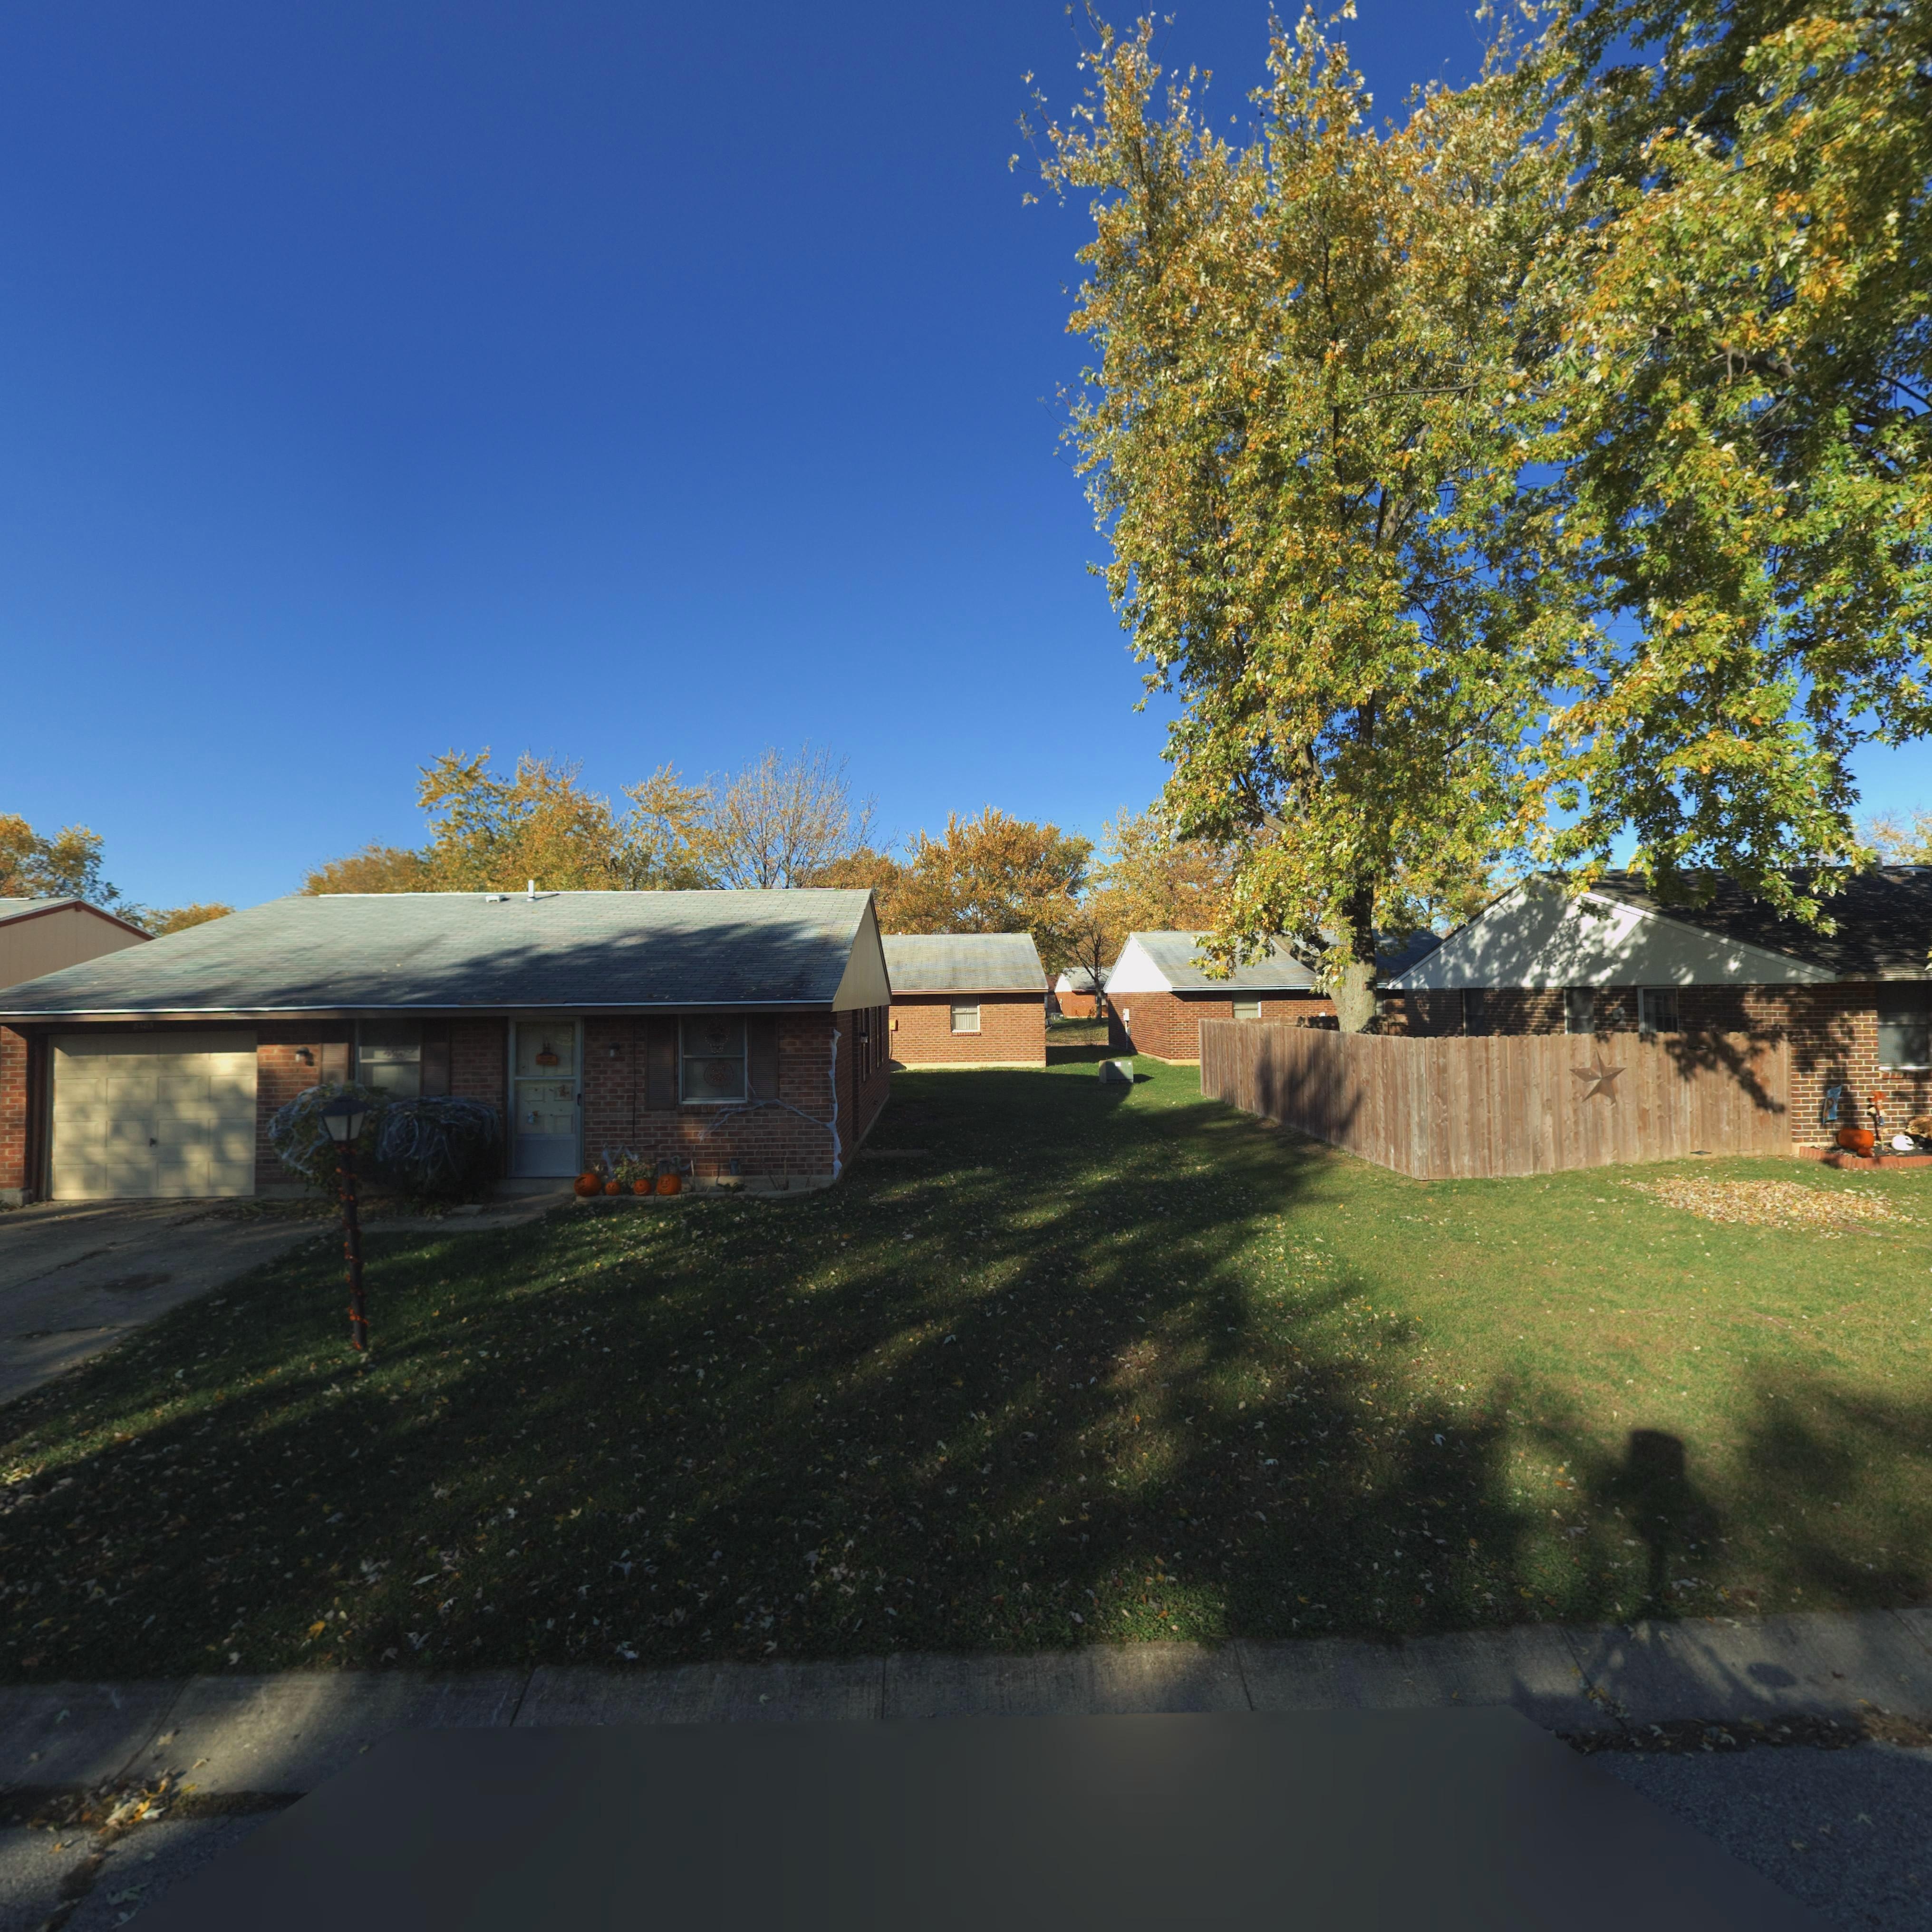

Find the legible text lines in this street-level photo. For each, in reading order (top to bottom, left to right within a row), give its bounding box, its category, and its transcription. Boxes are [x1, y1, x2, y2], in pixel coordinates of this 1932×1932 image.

[132, 1021, 155, 1032] StreetNumber: 81*5